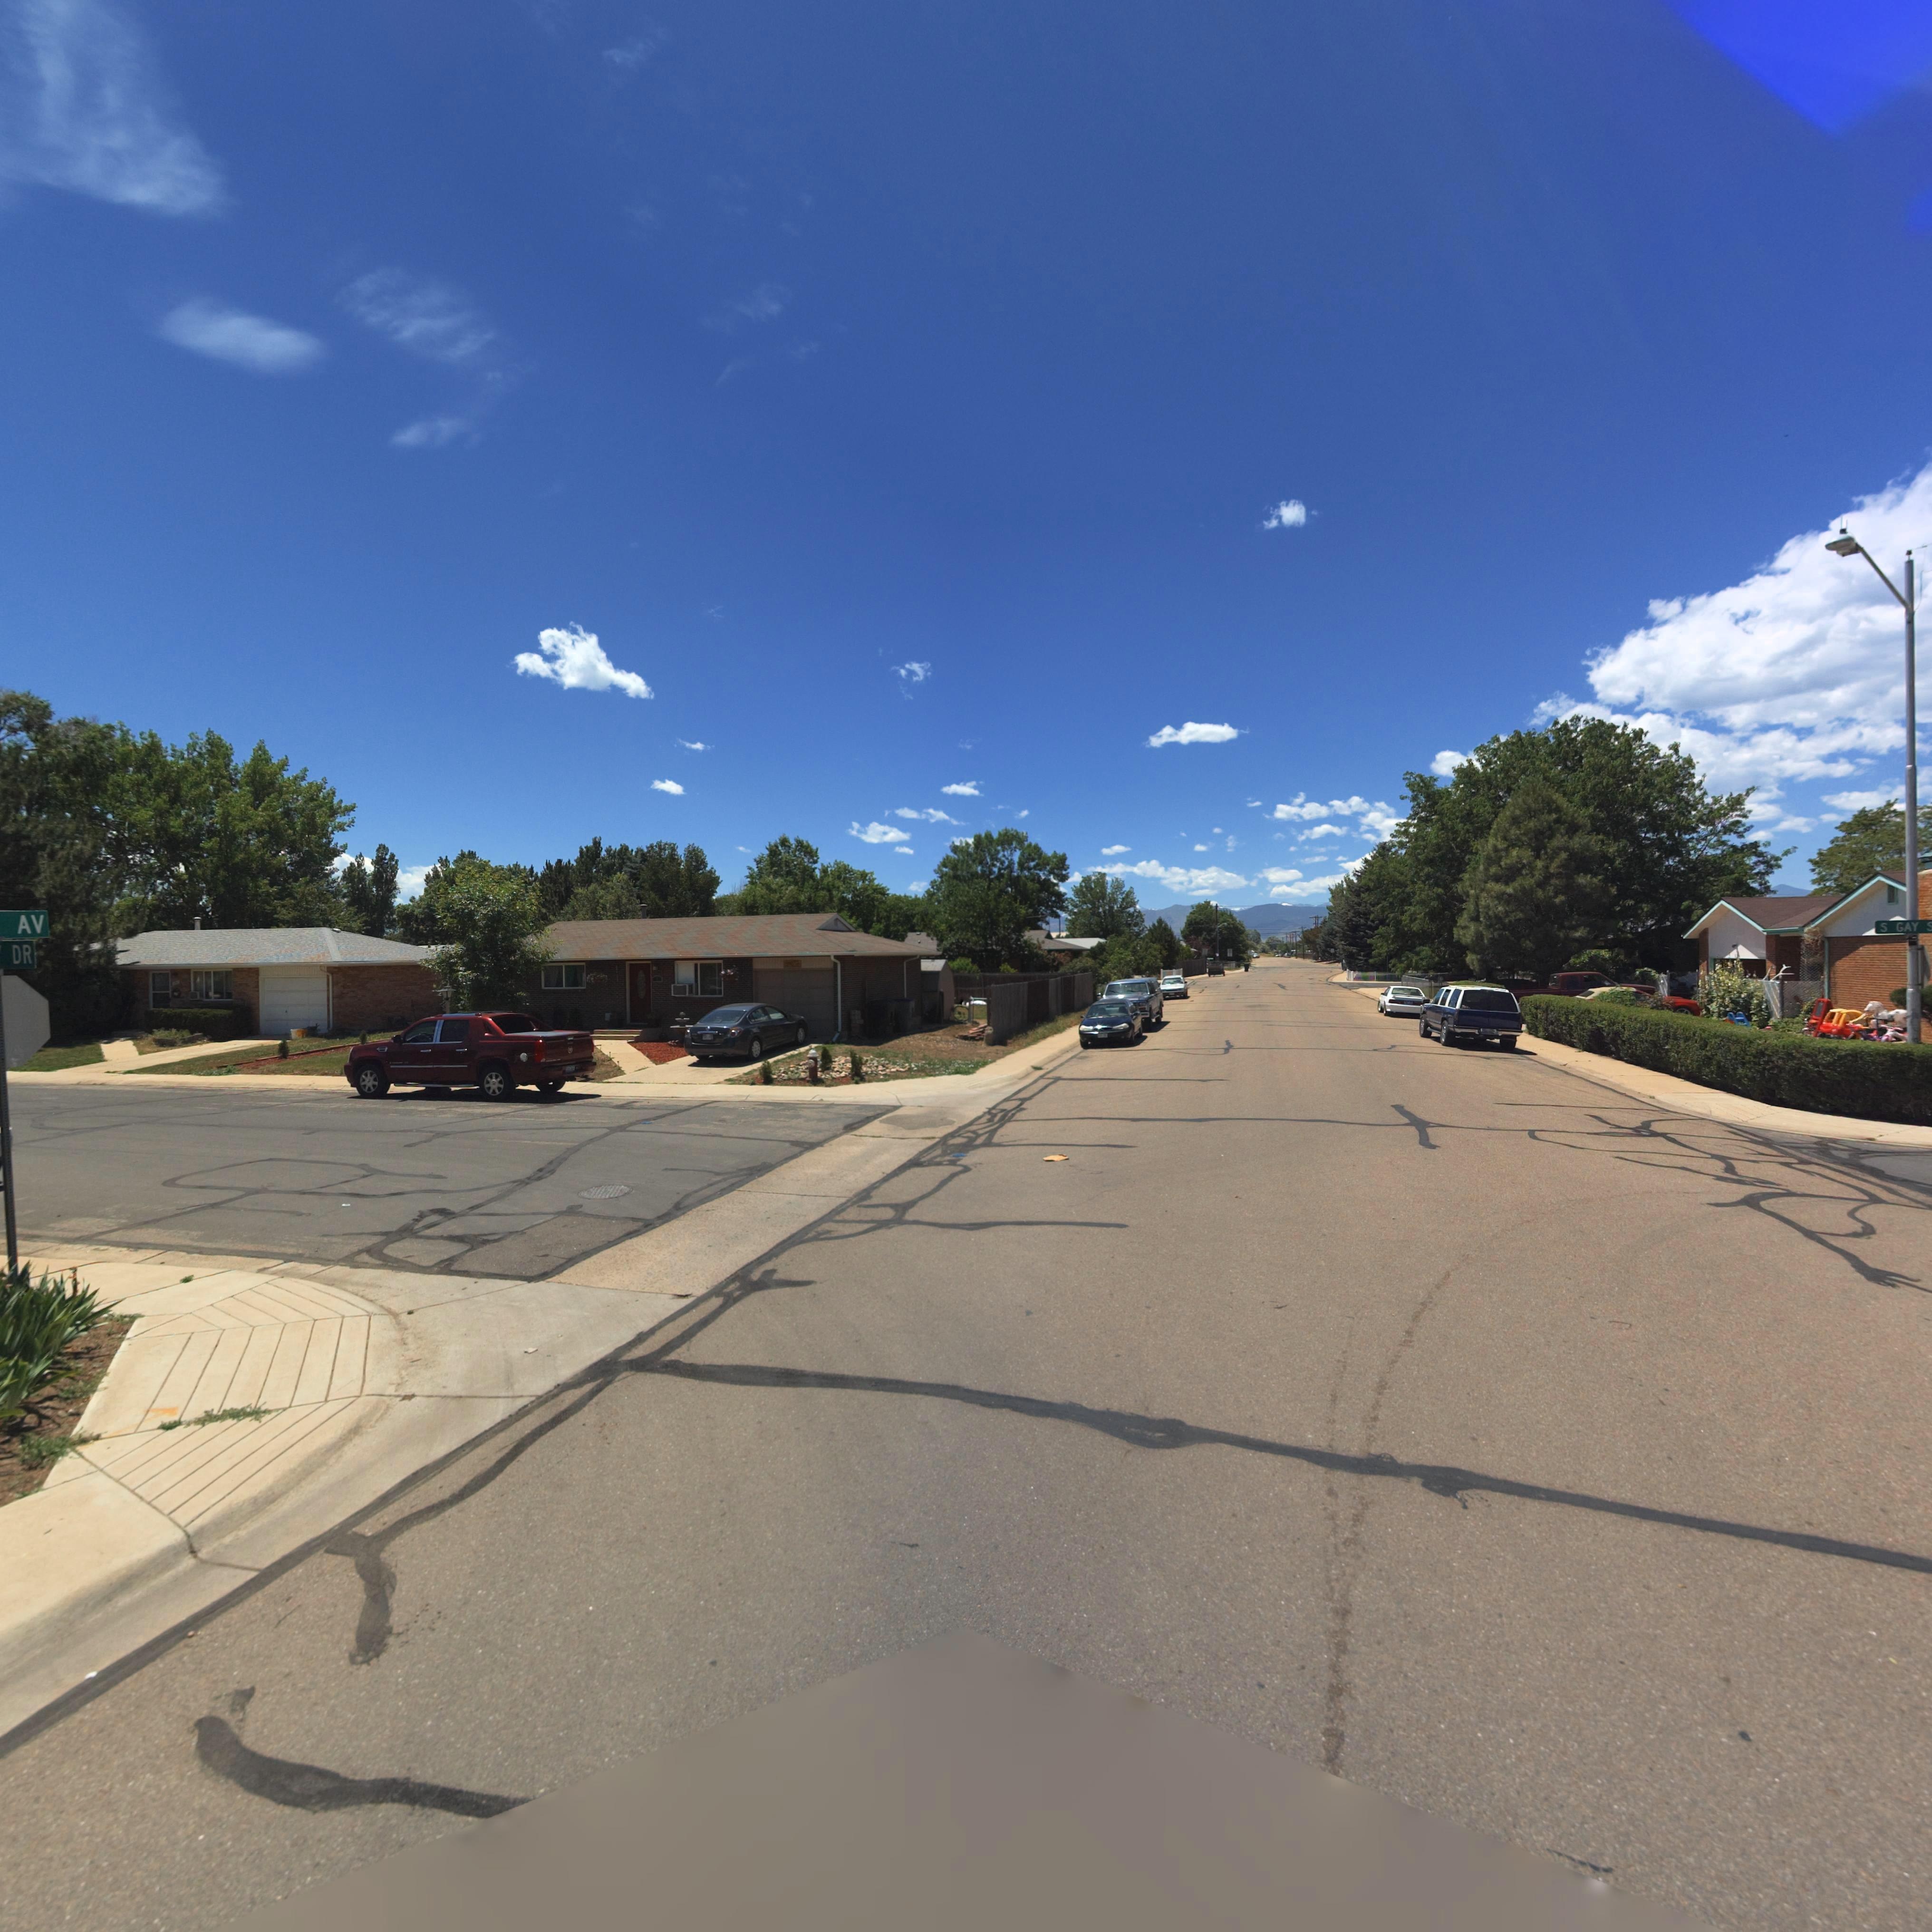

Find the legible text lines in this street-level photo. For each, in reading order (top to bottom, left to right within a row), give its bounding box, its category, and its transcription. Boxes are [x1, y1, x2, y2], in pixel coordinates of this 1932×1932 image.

[16, 914, 46, 935] StreetName: AV
[1879, 921, 1920, 932] StreetName: S GAY
[12, 944, 32, 965] StreetName: DR